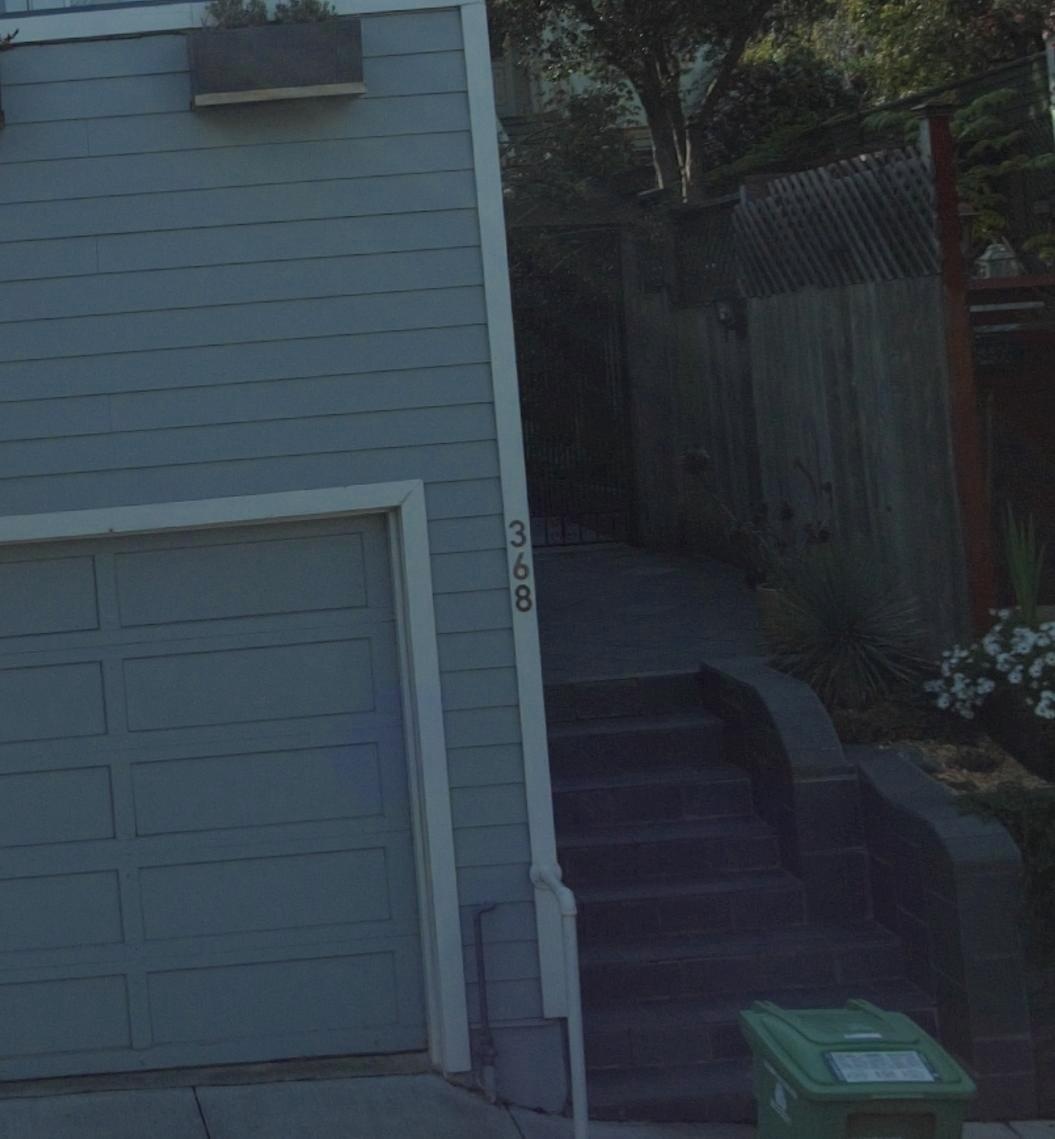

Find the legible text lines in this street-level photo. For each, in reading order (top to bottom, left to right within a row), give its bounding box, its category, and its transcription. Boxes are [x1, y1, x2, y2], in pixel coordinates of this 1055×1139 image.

[506, 519, 534, 613] StreetNumber: 368